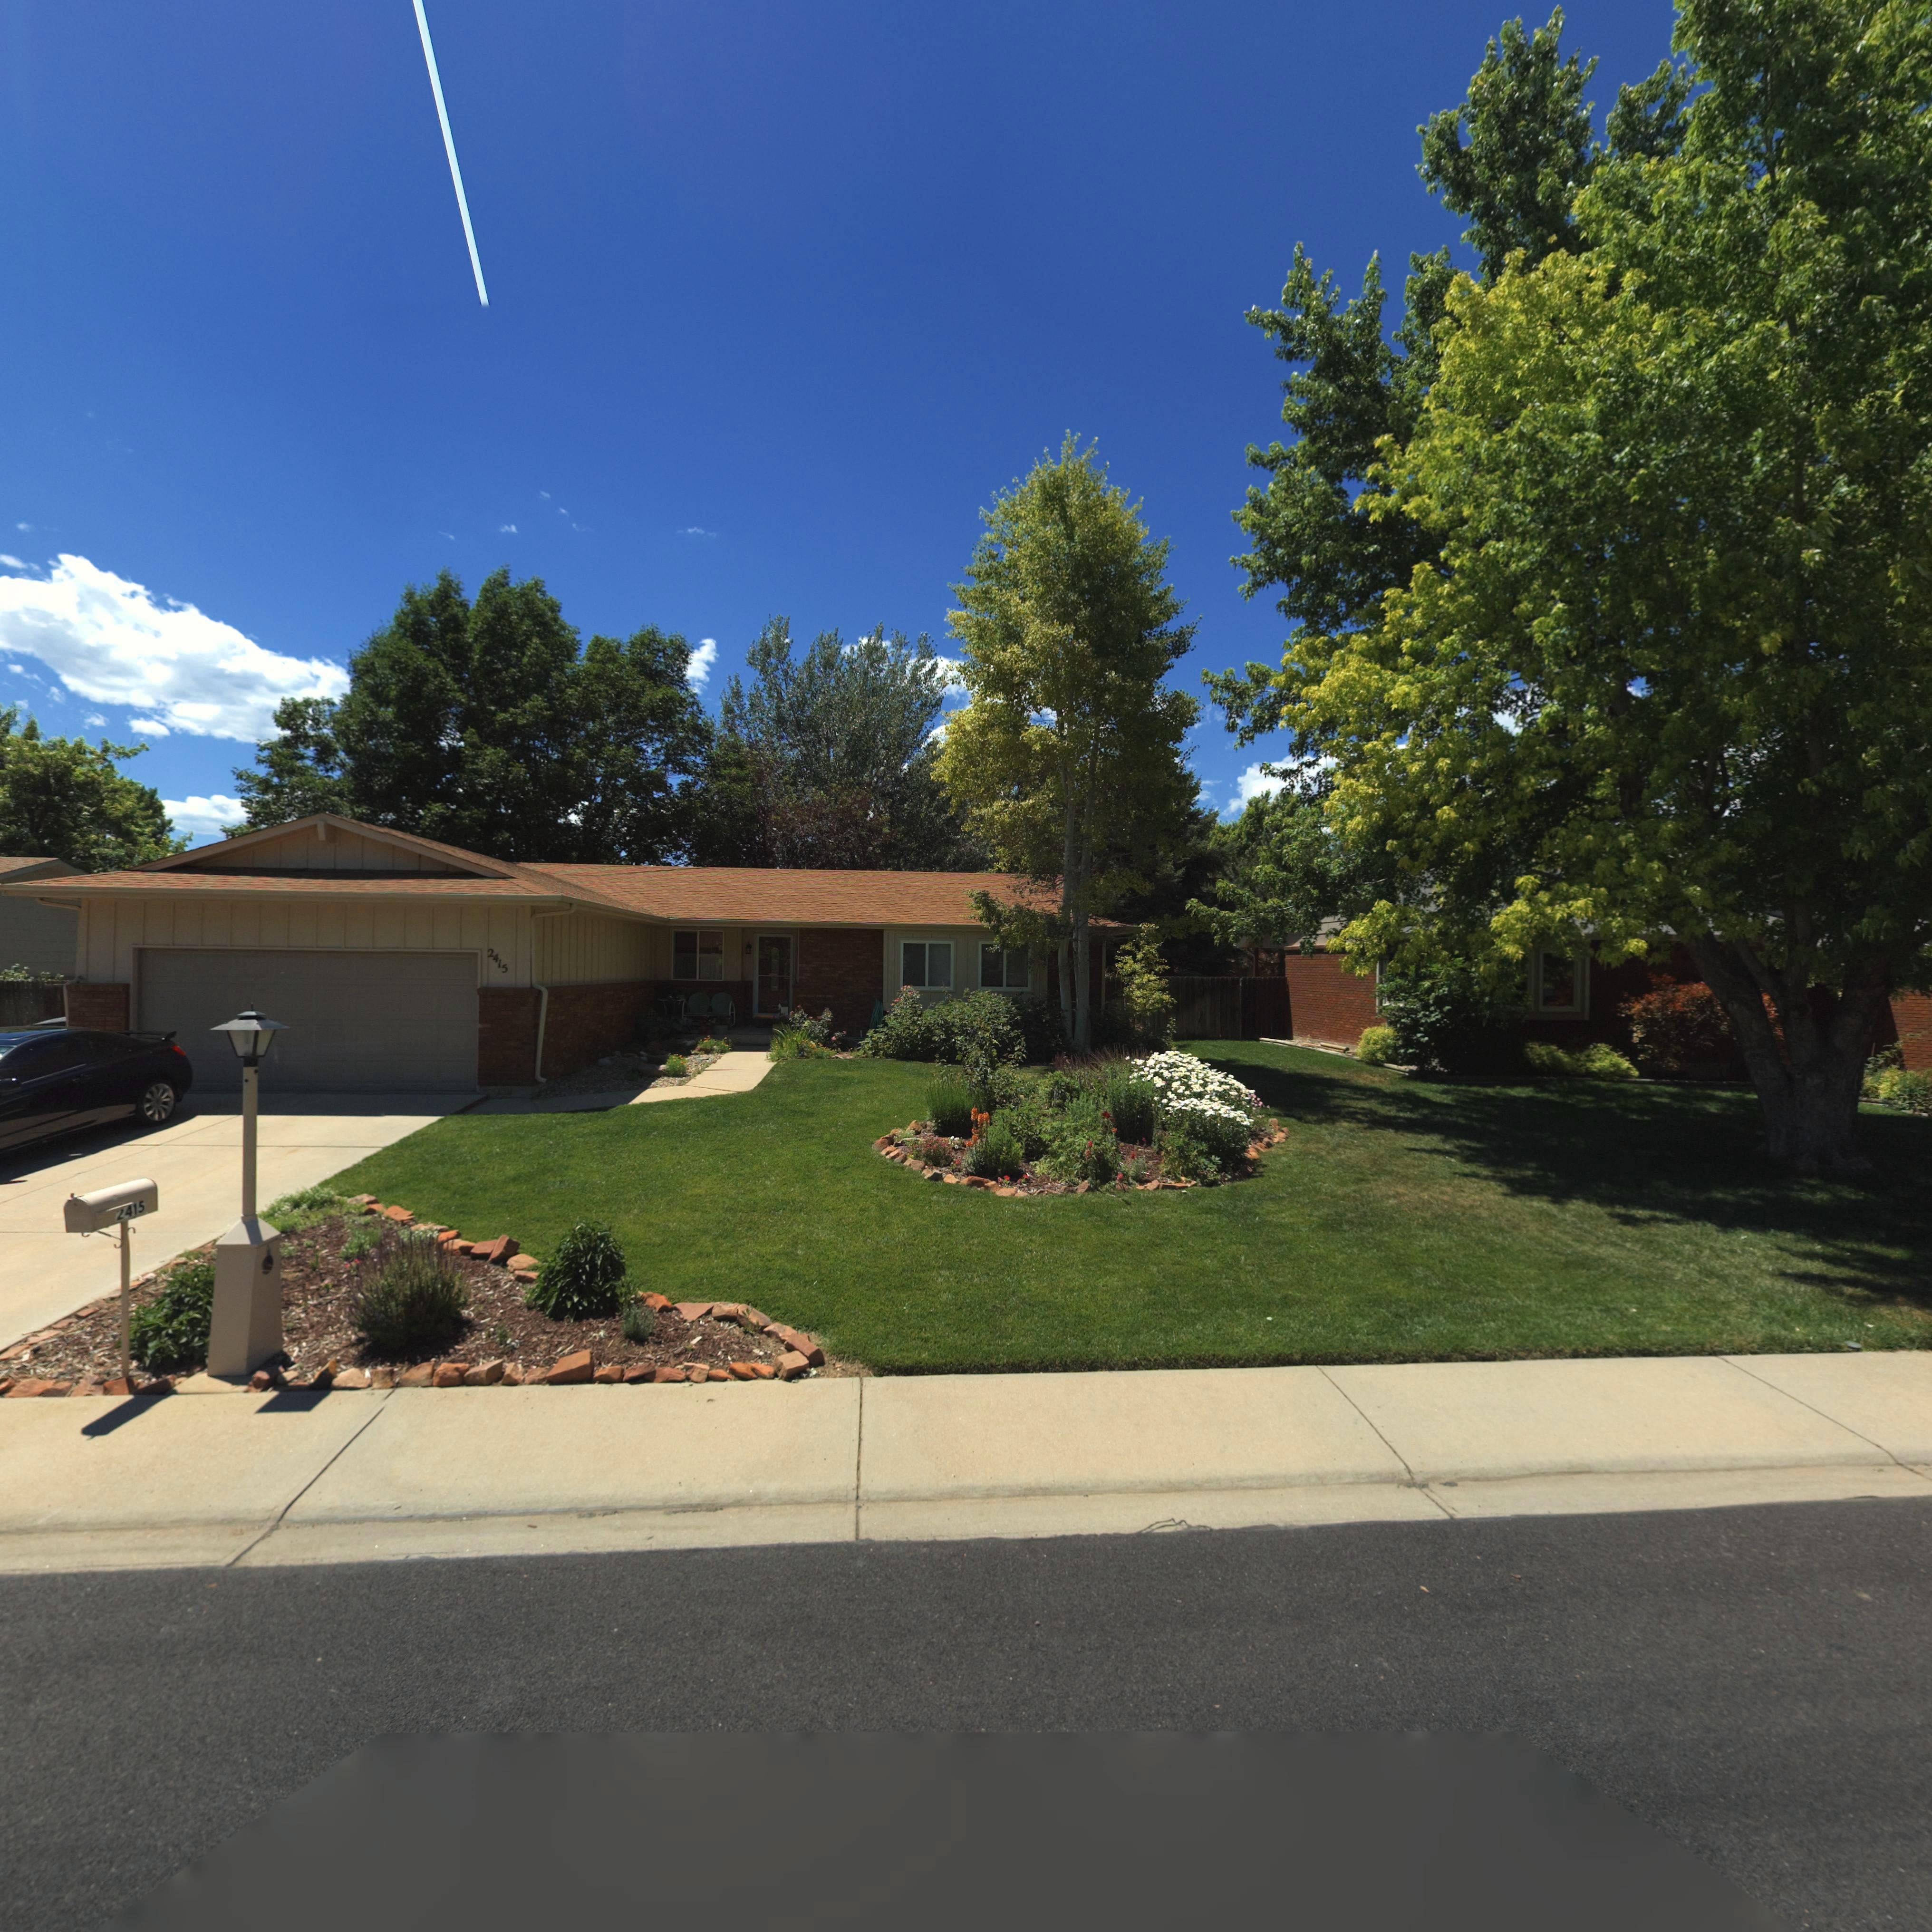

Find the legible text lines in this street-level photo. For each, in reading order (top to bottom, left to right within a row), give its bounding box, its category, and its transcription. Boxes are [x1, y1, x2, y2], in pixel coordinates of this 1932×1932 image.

[486, 947, 509, 974] StreetNumber: 2415
[115, 1199, 145, 1222] StreetNumber: *415